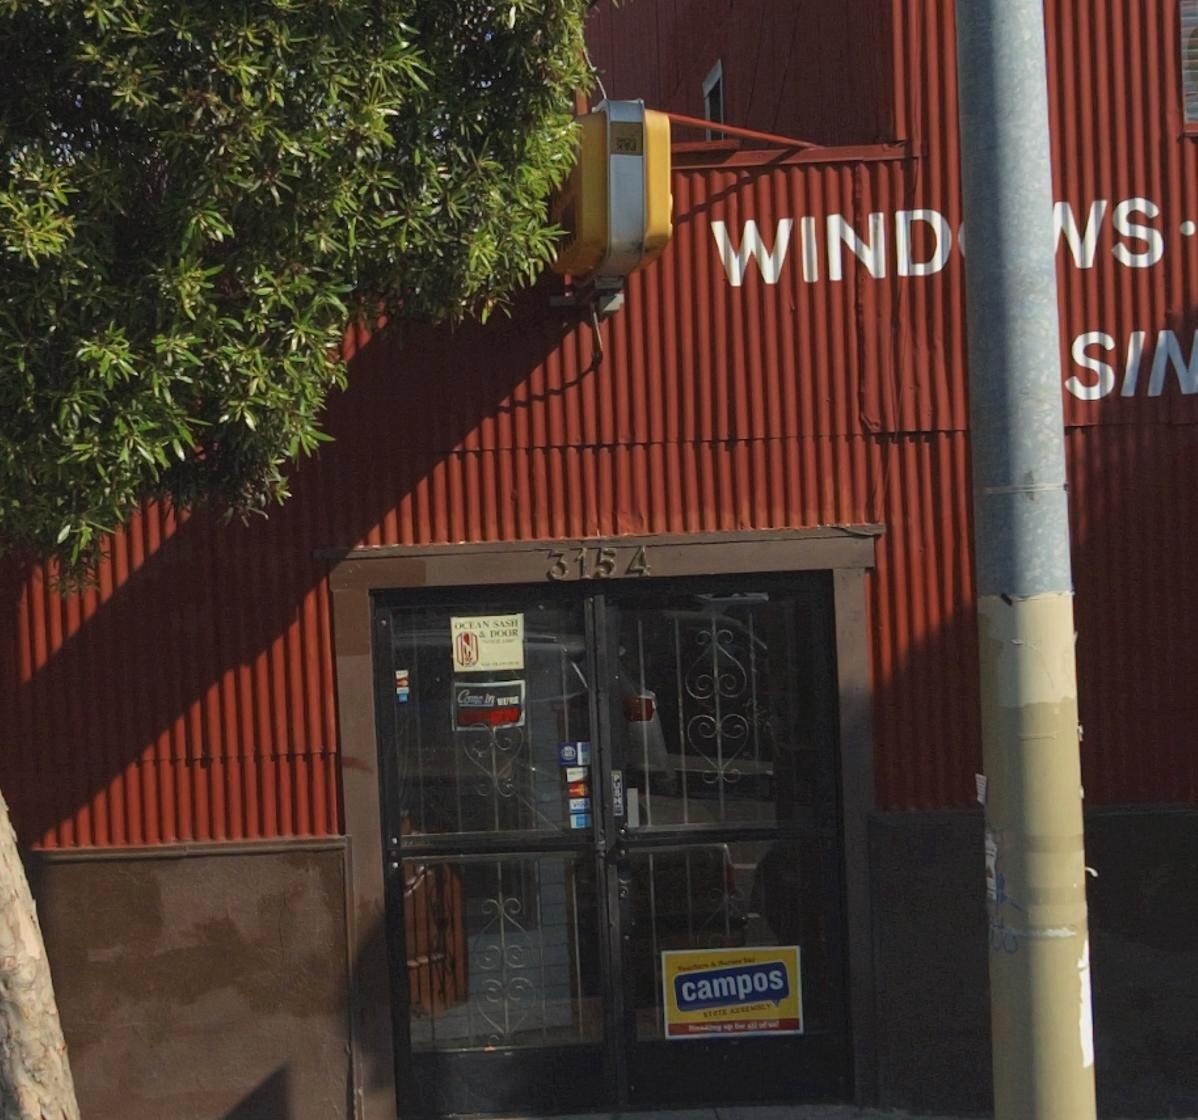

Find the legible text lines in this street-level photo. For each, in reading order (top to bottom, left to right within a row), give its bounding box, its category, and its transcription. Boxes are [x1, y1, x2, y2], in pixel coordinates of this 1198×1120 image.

[707, 206, 955, 289] None: WIND
[1109, 195, 1166, 270] None: S
[1063, 329, 1148, 403] None: SI
[547, 544, 655, 581] StreetNumber: 3154
[453, 617, 519, 631] None: OCEAN SASH
[488, 627, 520, 638] None: DOOR
[455, 687, 496, 705] None: Come In
[496, 694, 520, 707] None: WE'RE
[458, 707, 520, 730] None: OPEN
[612, 772, 622, 805] None: PUSH
[680, 969, 785, 1003] None: campos